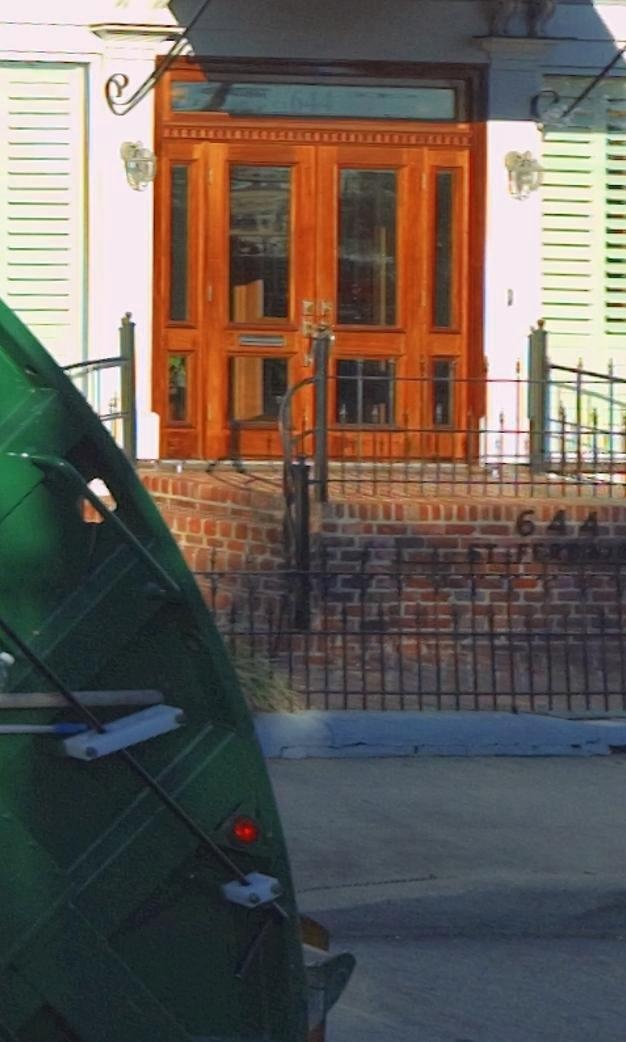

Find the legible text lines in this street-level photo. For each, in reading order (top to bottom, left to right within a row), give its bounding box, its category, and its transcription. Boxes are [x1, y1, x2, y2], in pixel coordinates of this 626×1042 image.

[286, 84, 335, 115] StreetNumber: 644
[510, 504, 603, 541] StreetNumber: 644